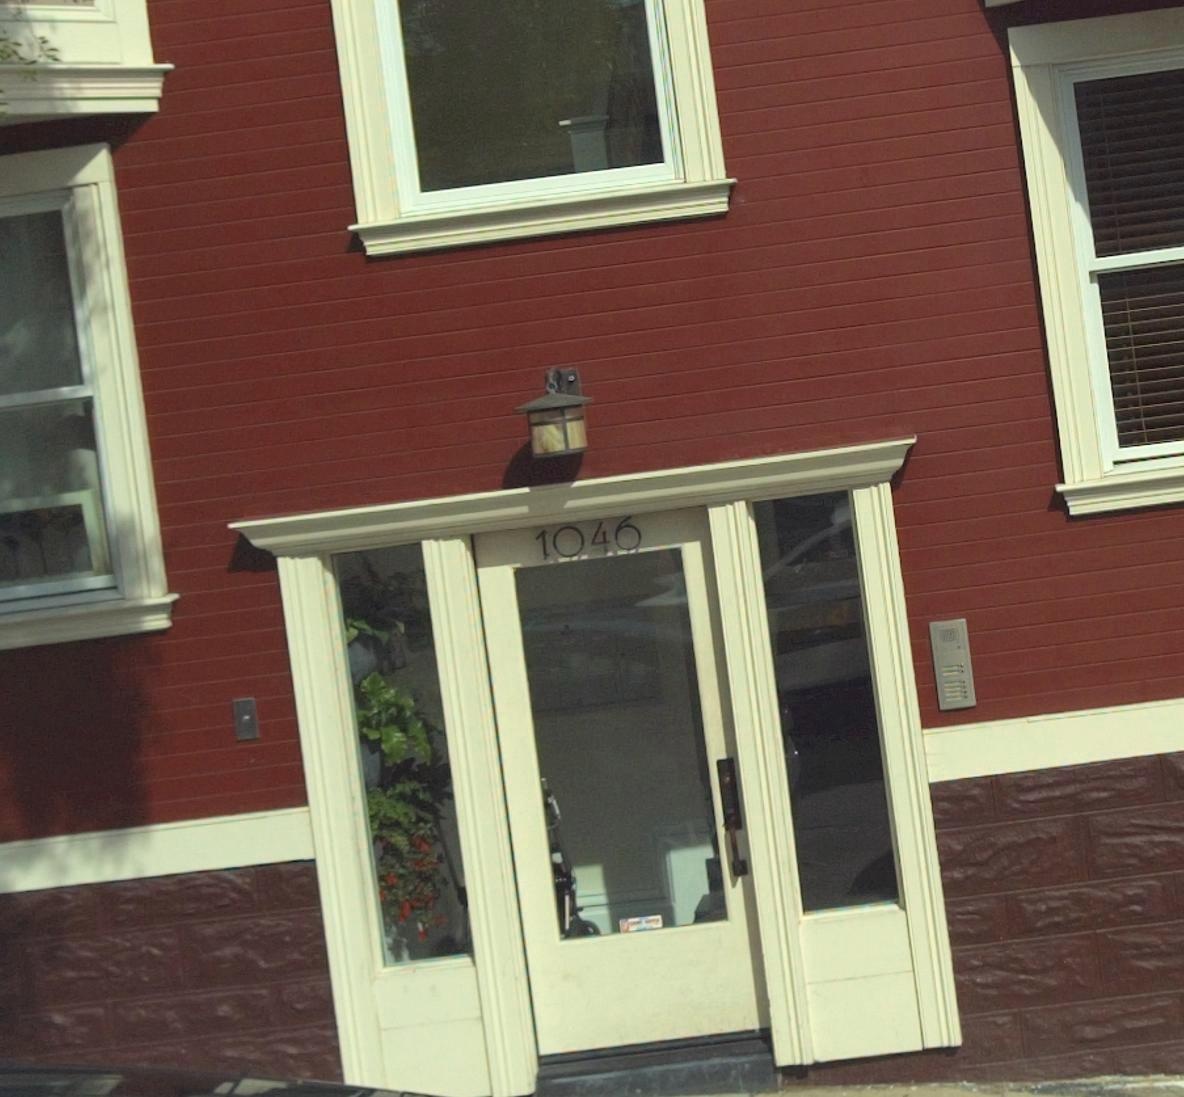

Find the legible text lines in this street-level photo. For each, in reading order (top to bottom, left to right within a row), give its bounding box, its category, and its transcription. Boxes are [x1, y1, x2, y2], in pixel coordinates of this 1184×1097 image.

[534, 513, 644, 565] StreetNumber: 1046